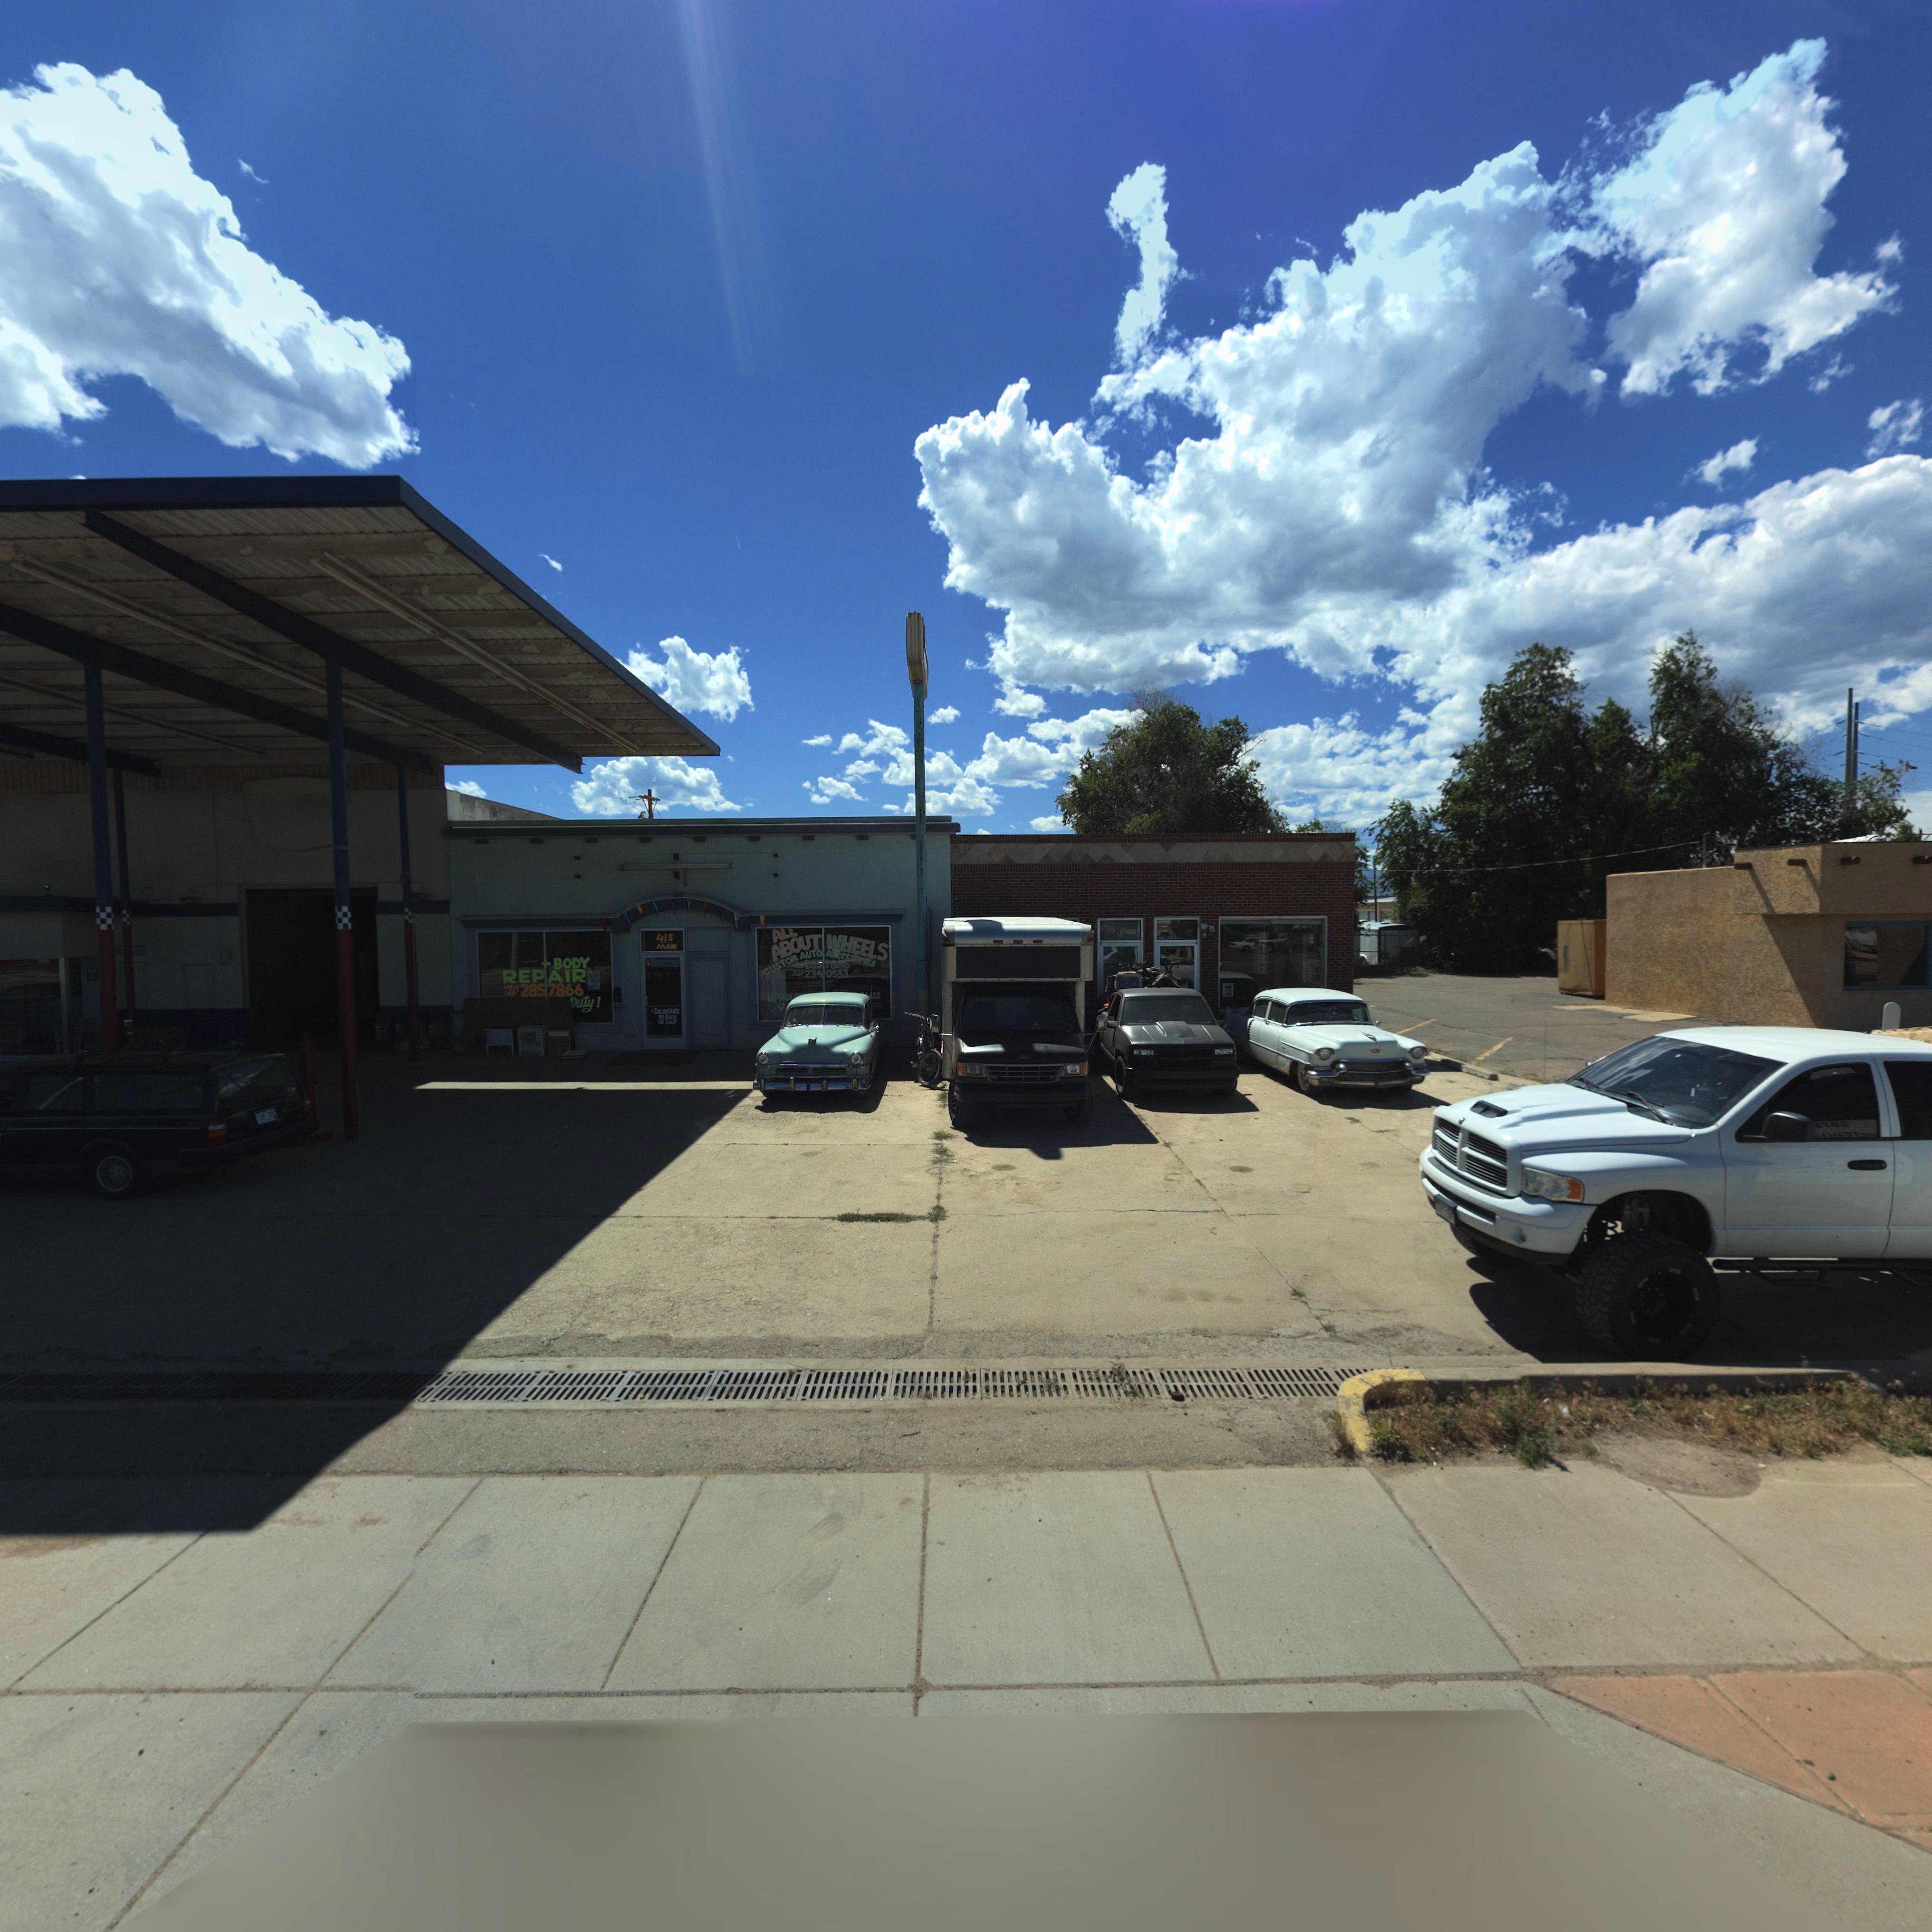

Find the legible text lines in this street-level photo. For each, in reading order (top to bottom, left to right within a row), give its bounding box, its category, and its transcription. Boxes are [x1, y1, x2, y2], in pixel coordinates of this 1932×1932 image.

[655, 933, 667, 943] StreetNumber: 41
[667, 933, 673, 941] StreetName: S
[772, 927, 798, 944] BusinessName: ALL
[656, 943, 677, 950] StreetName: MAIN
[771, 933, 889, 963] BusinessName: ABOUT WHEELS
[762, 949, 877, 976] BusinessName: CUSTOM AUTO ACCeSS*rieS